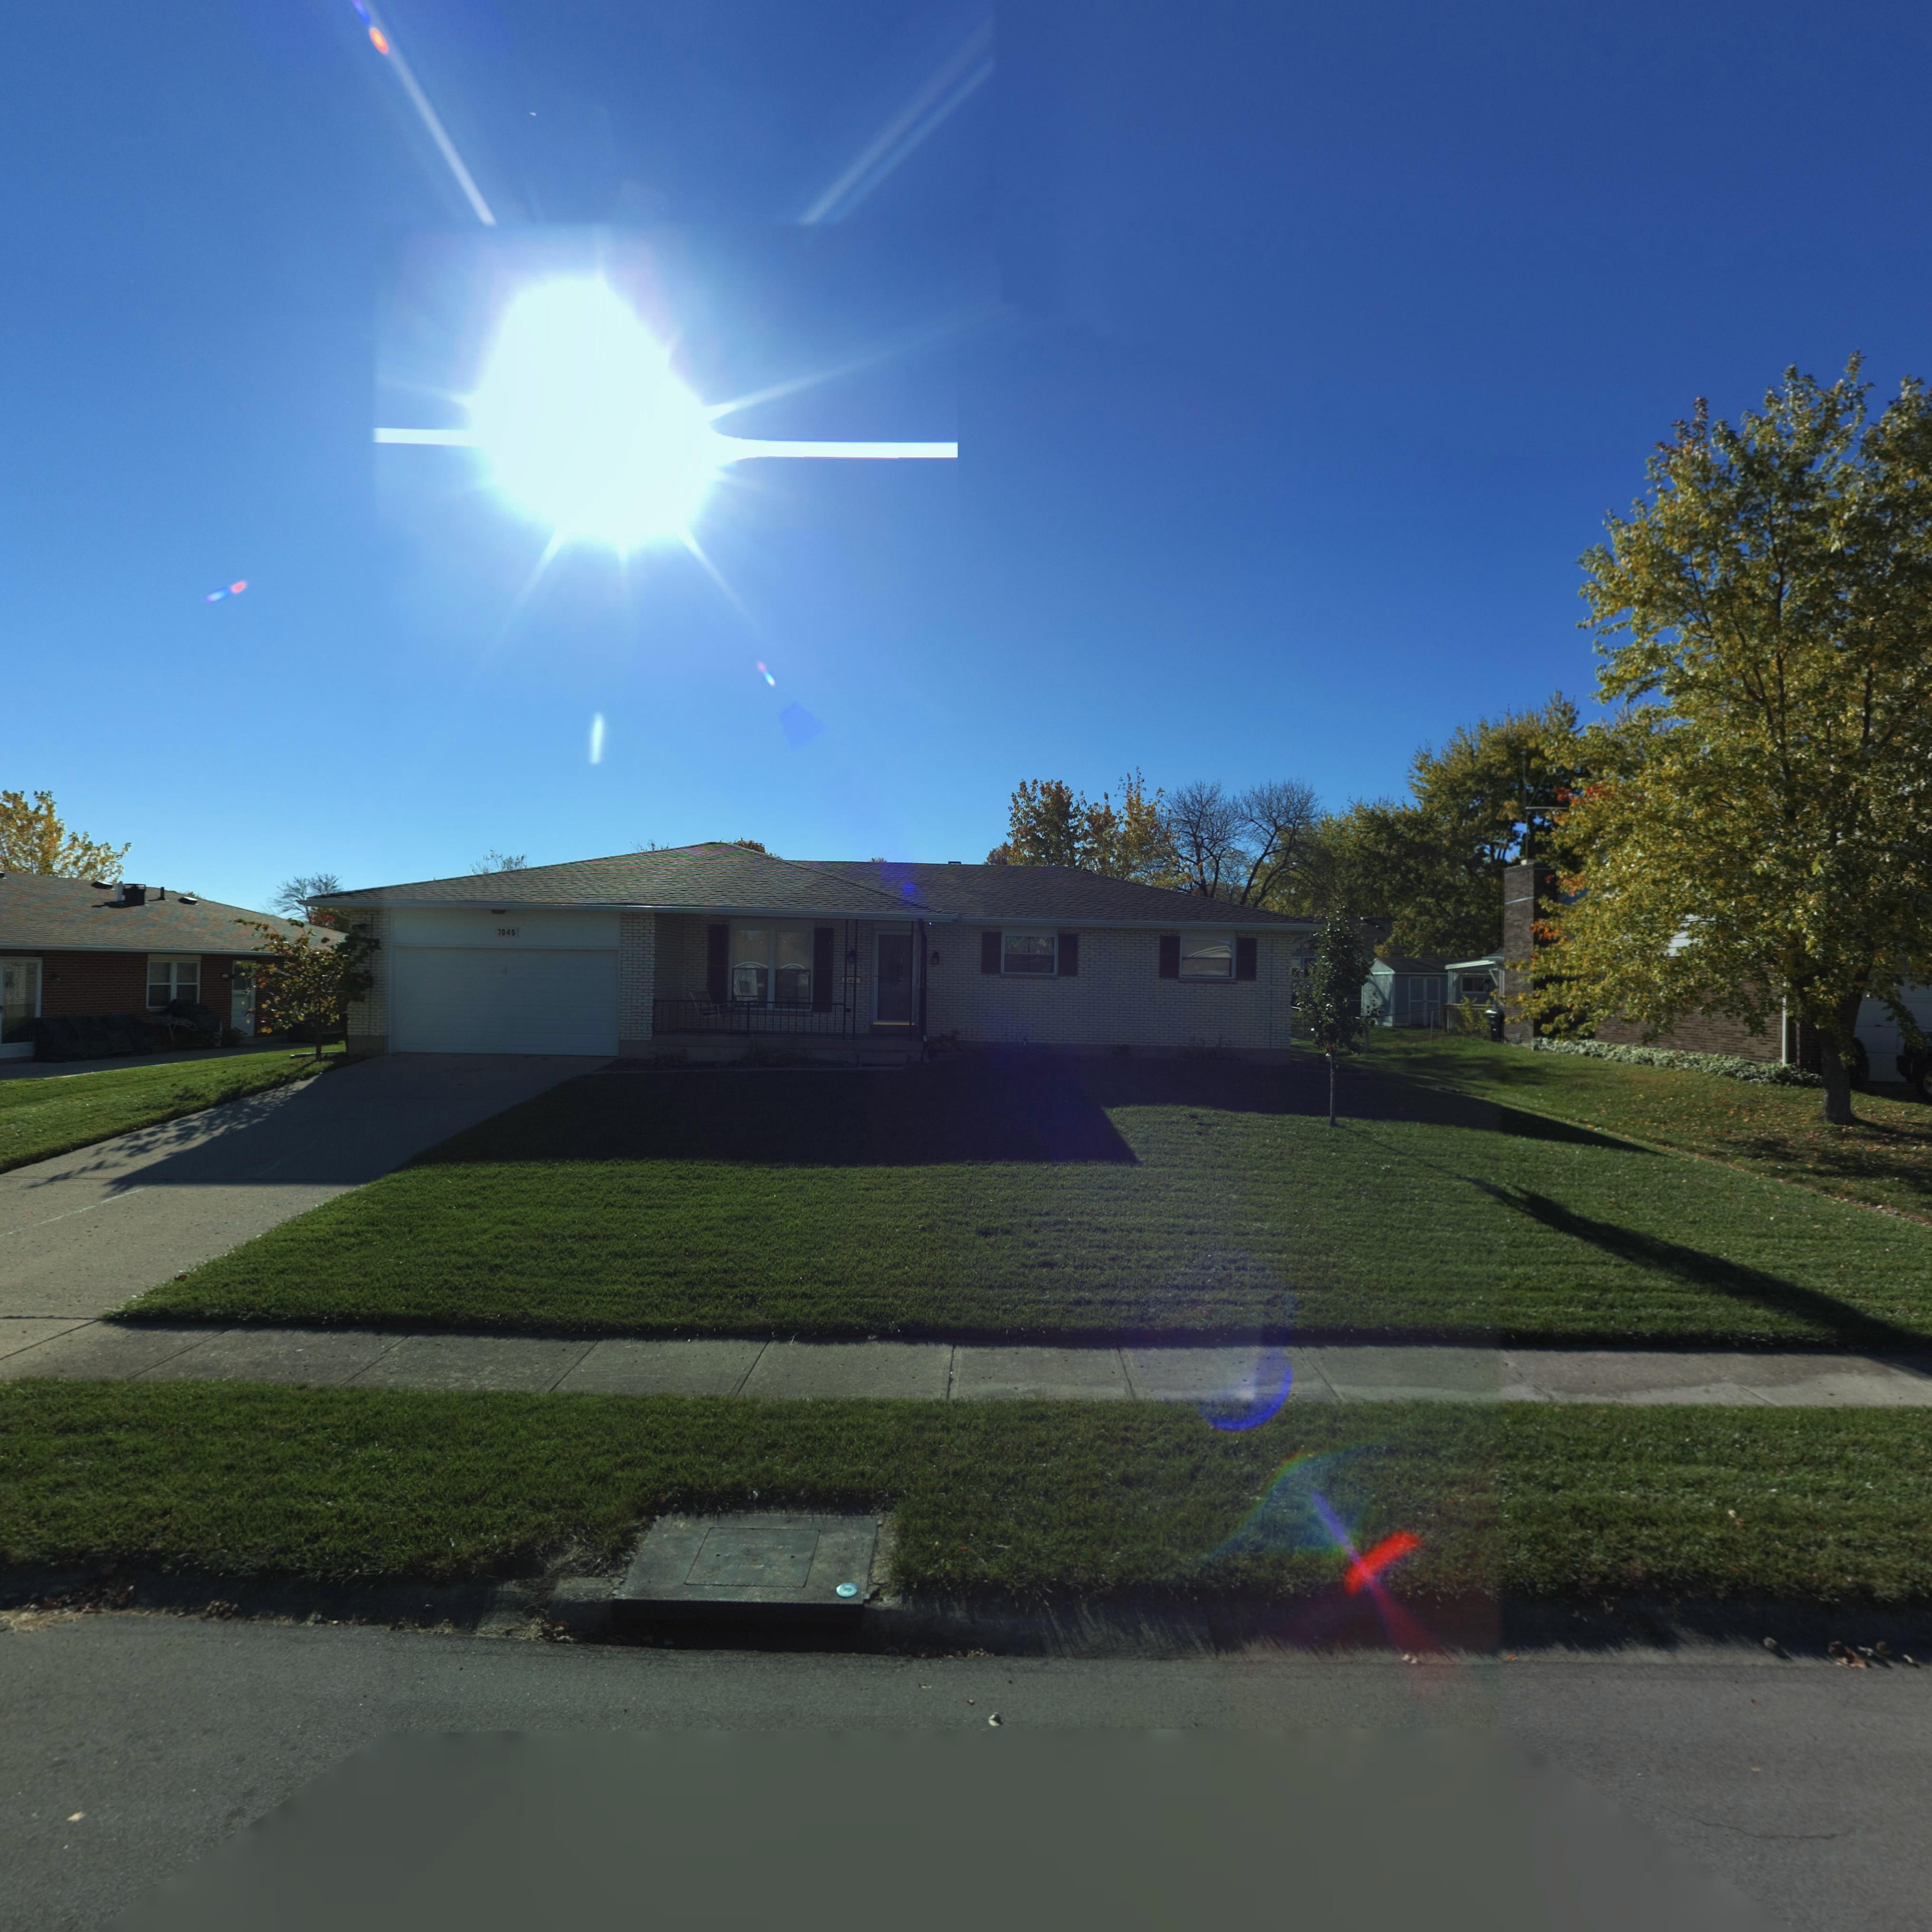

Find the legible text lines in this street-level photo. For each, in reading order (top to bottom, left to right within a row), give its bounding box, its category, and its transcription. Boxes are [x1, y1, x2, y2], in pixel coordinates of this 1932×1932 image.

[497, 928, 516, 936] StreetNumber: 7045